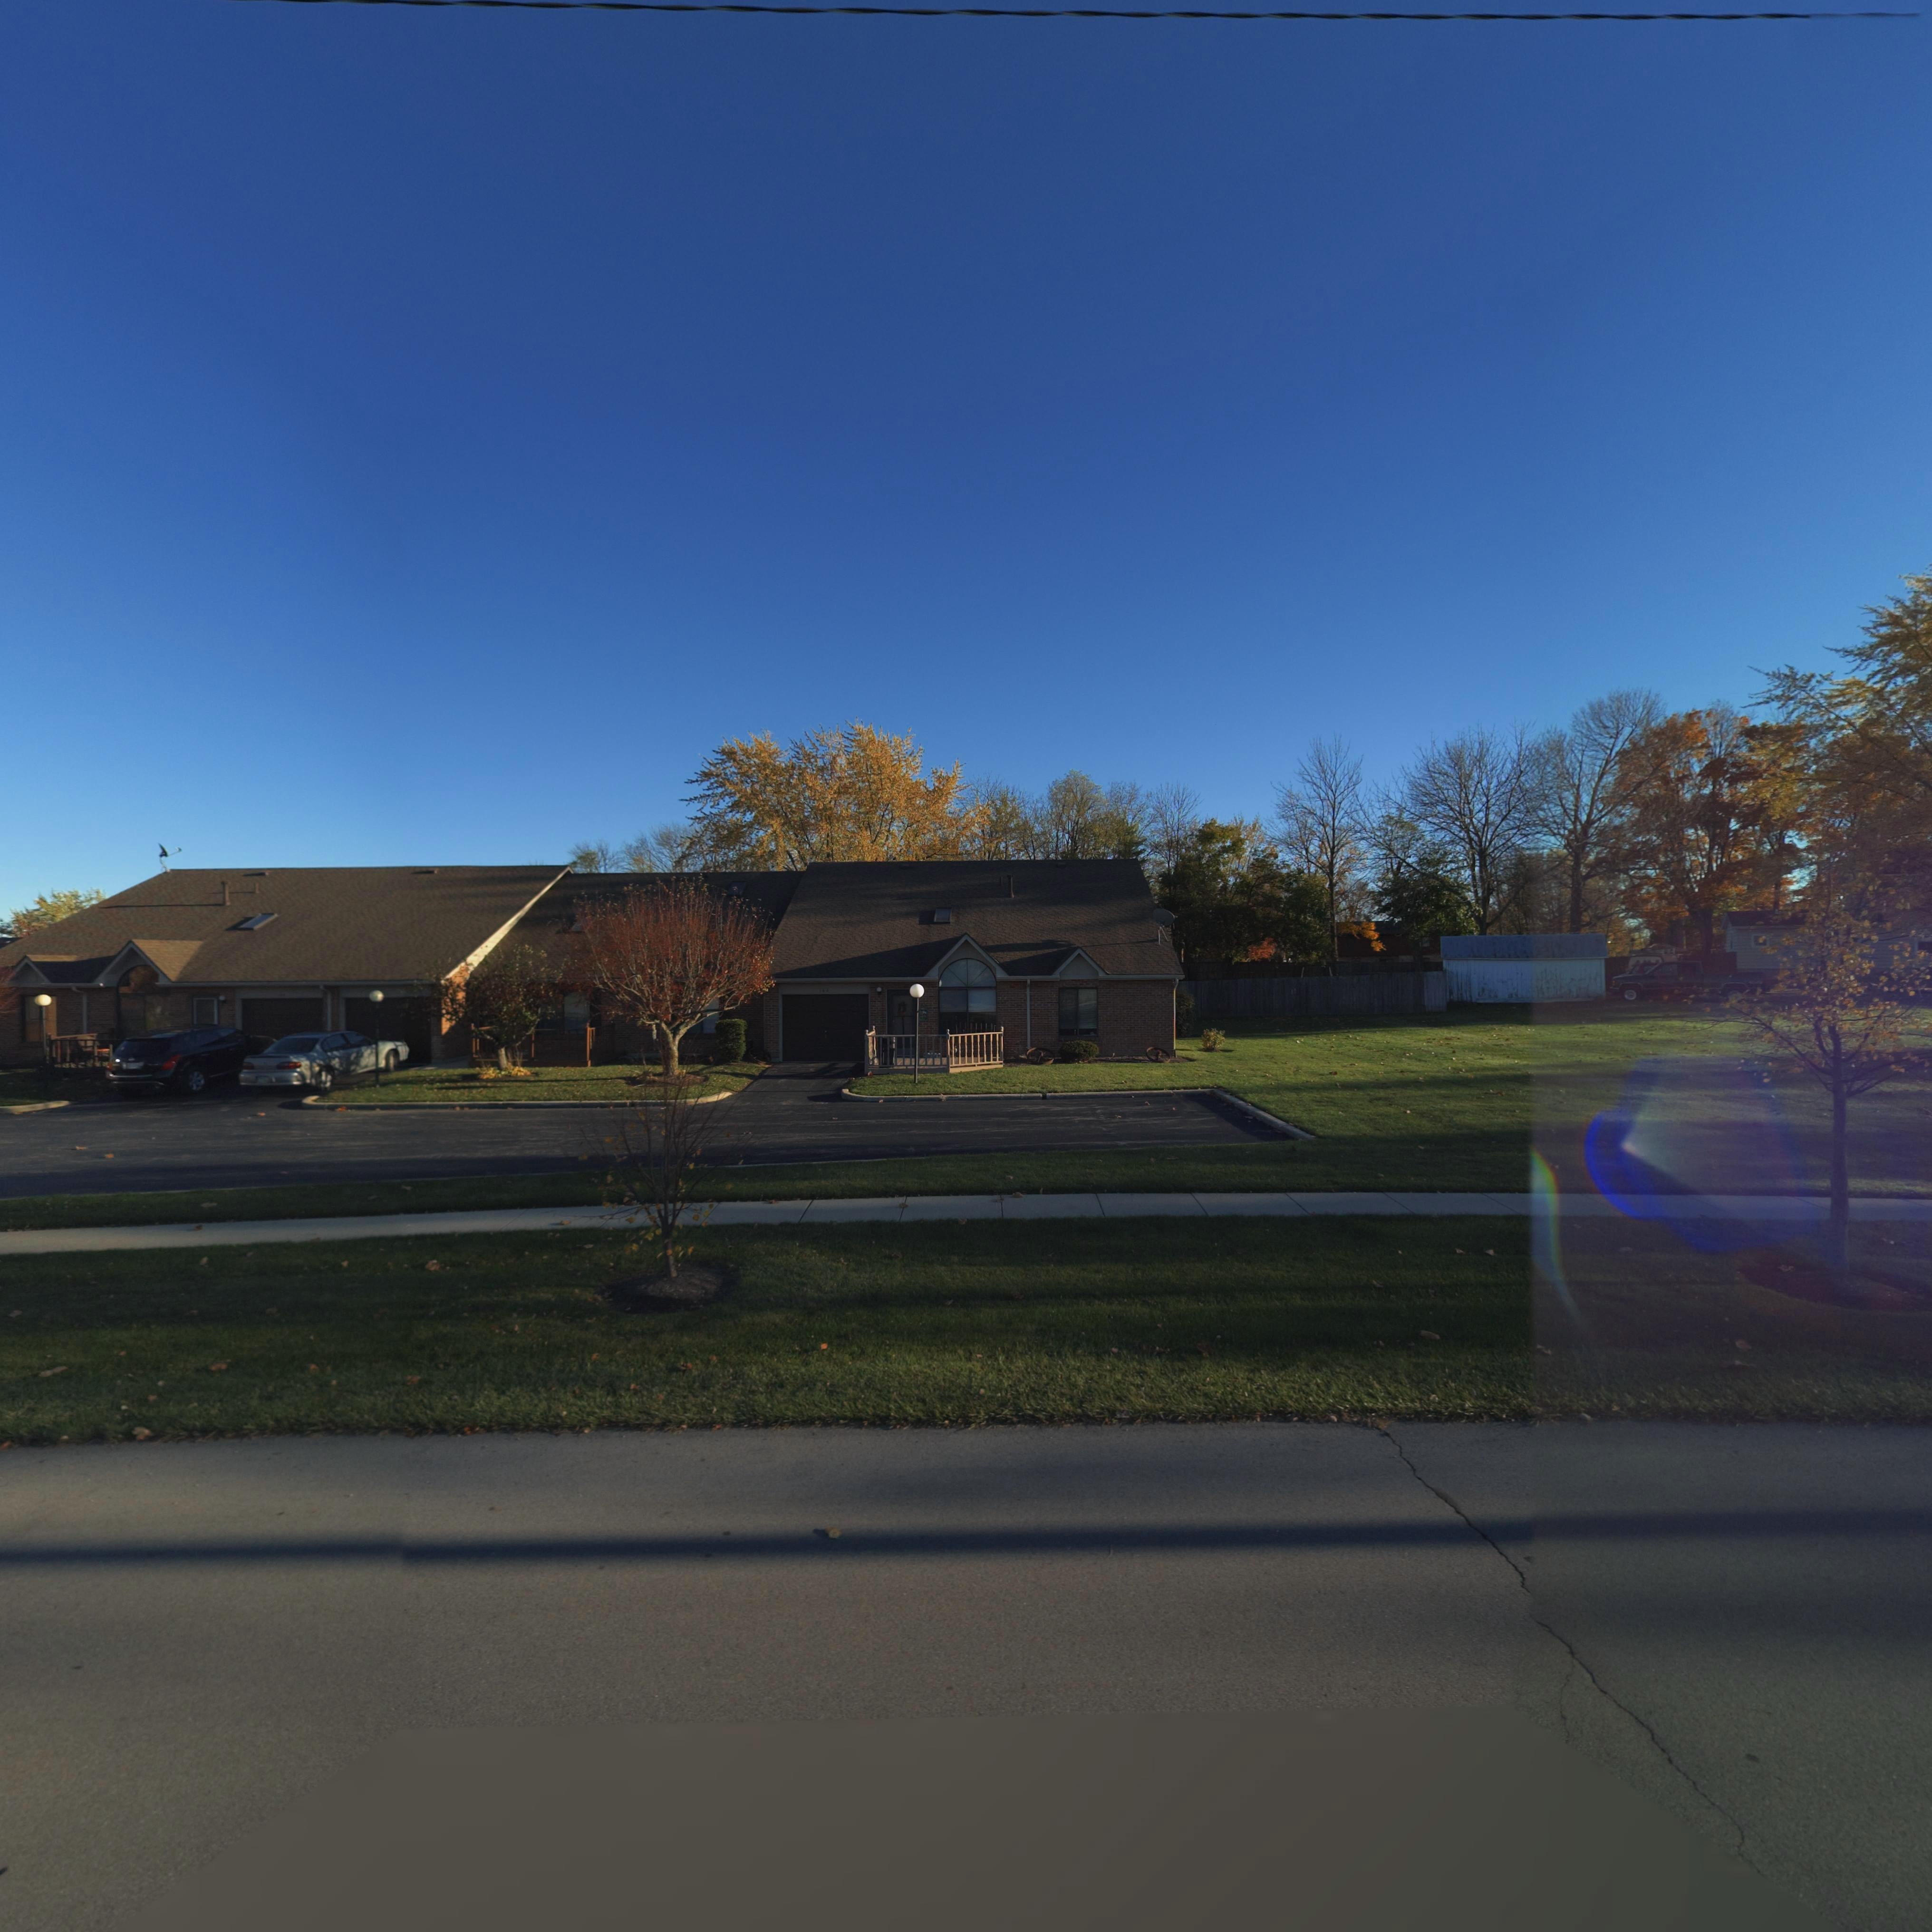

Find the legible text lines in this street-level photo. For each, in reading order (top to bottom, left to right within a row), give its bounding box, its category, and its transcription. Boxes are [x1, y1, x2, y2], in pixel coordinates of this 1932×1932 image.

[819, 988, 830, 994] StreetNumber: *6*